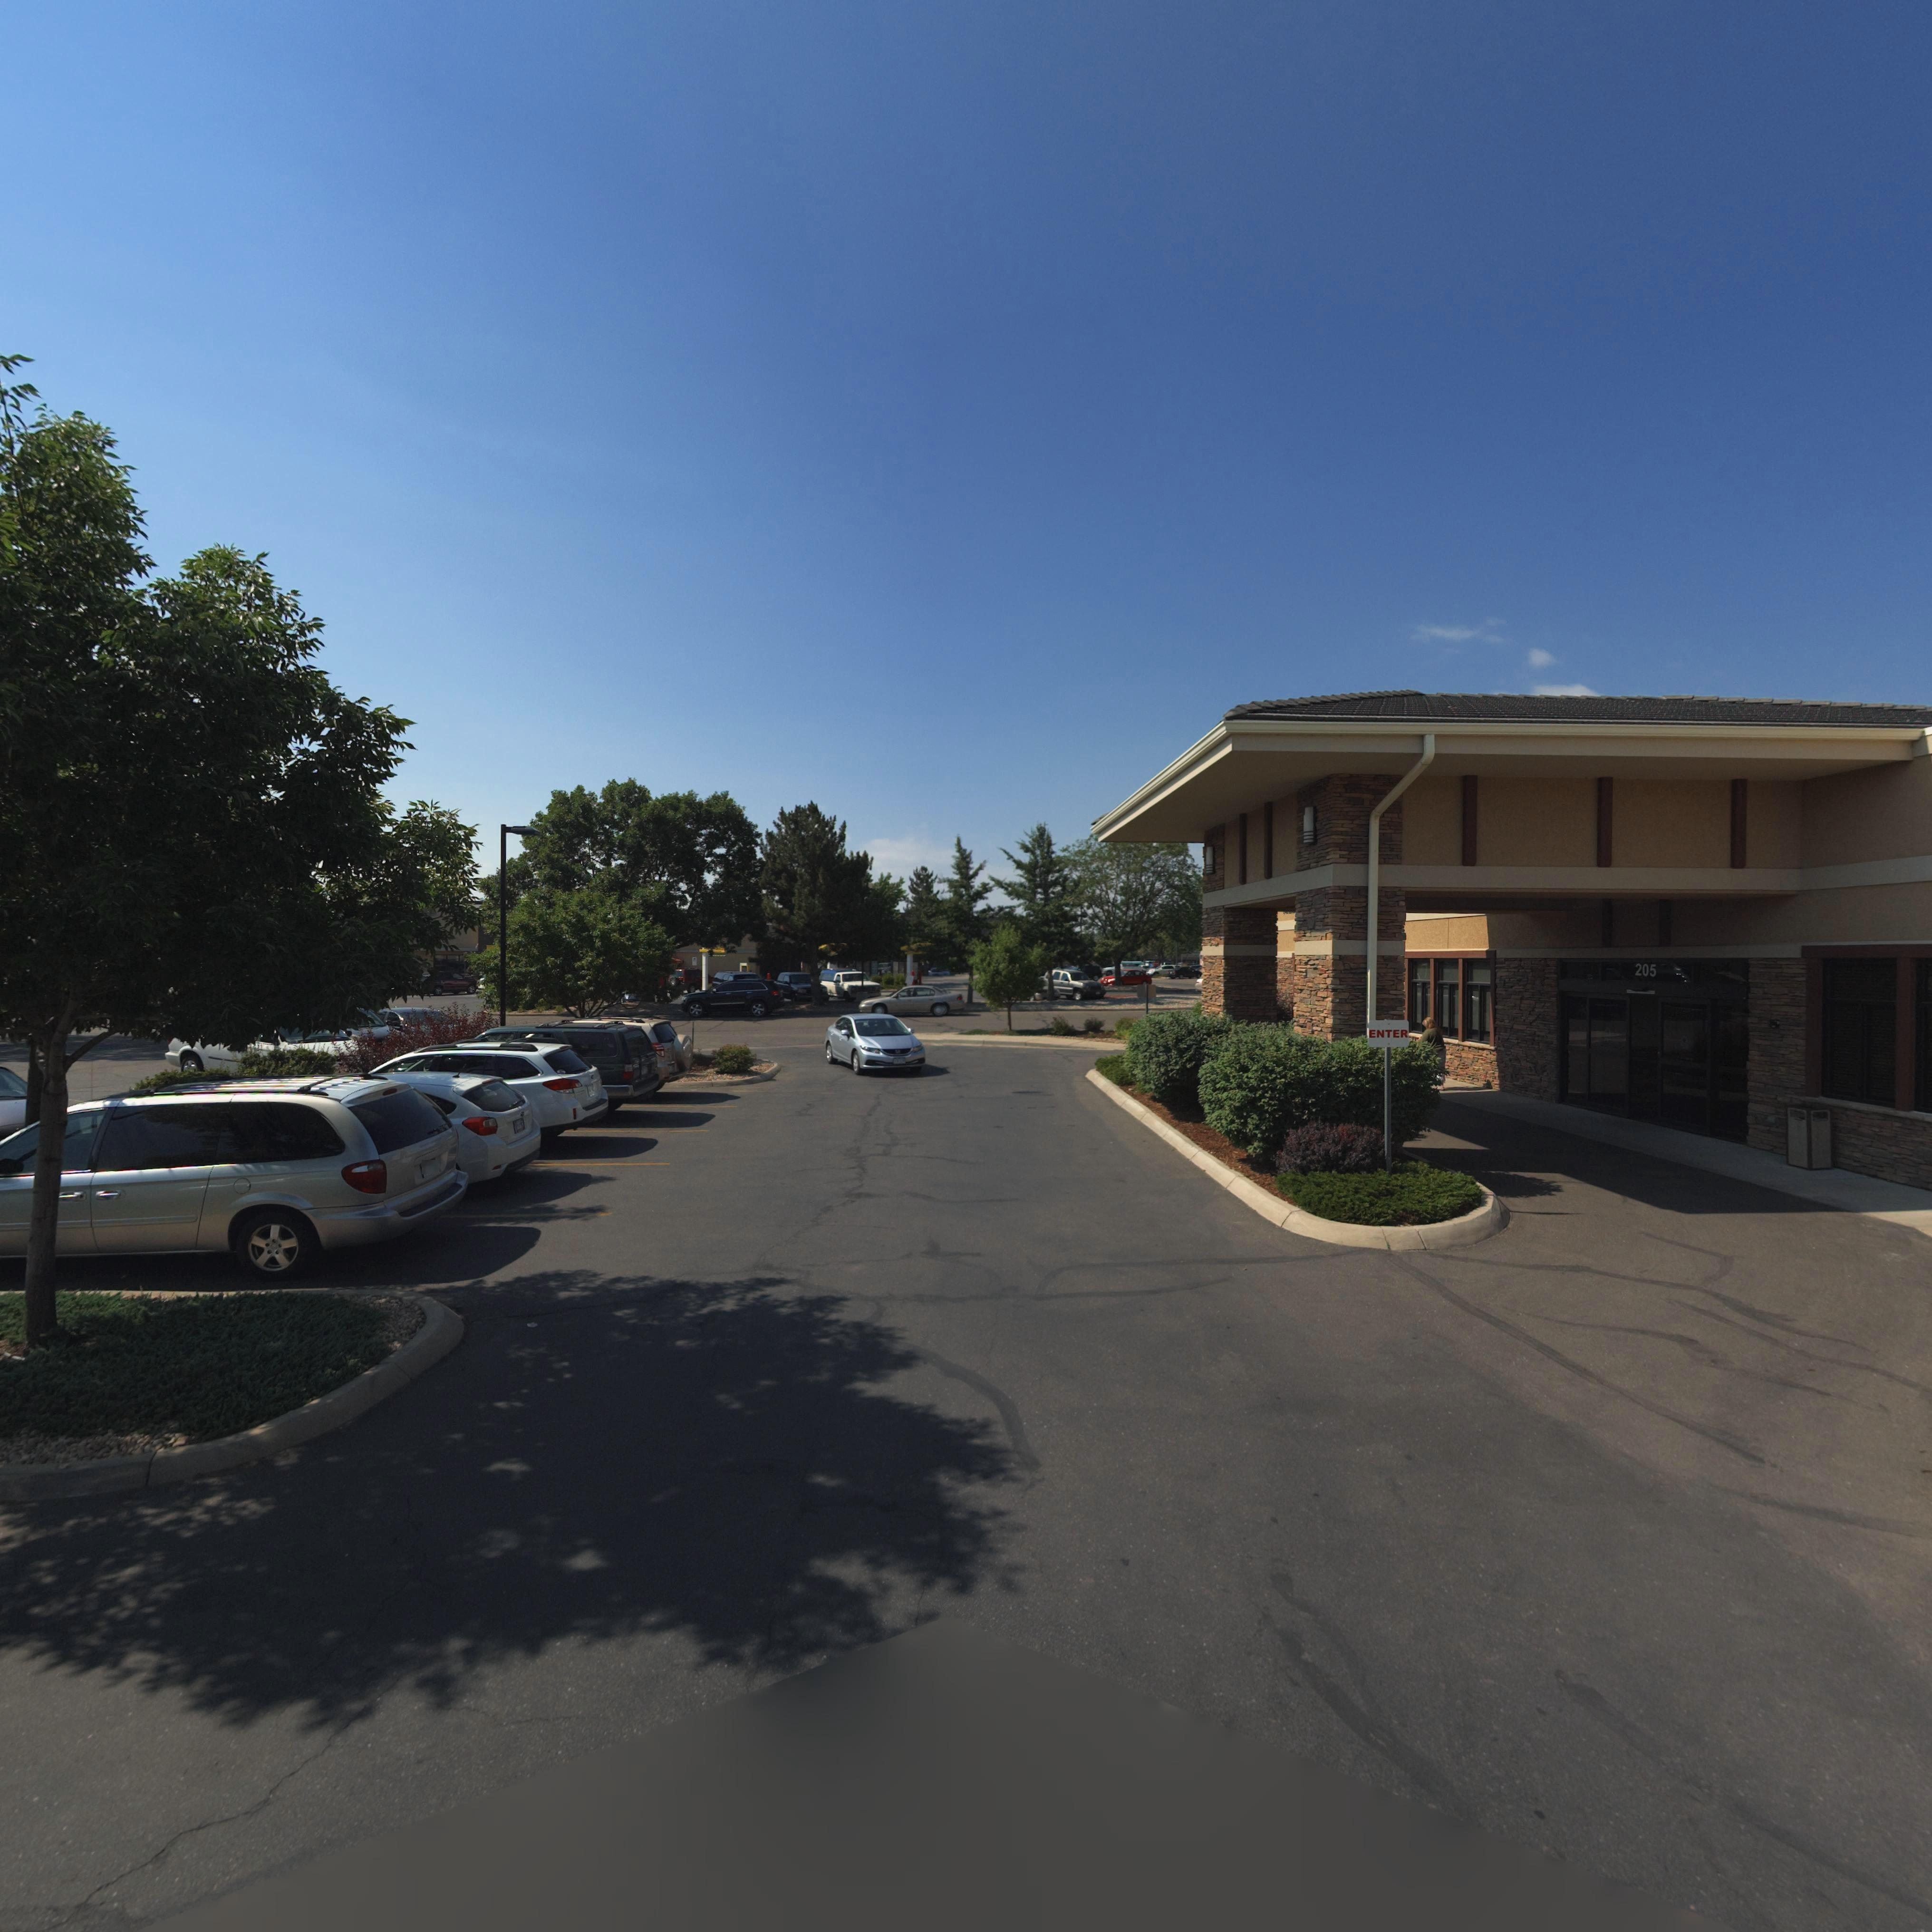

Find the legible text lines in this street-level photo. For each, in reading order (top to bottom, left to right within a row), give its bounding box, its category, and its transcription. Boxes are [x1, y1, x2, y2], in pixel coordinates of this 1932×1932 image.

[1633, 963, 1657, 977] StreetNumber: 205